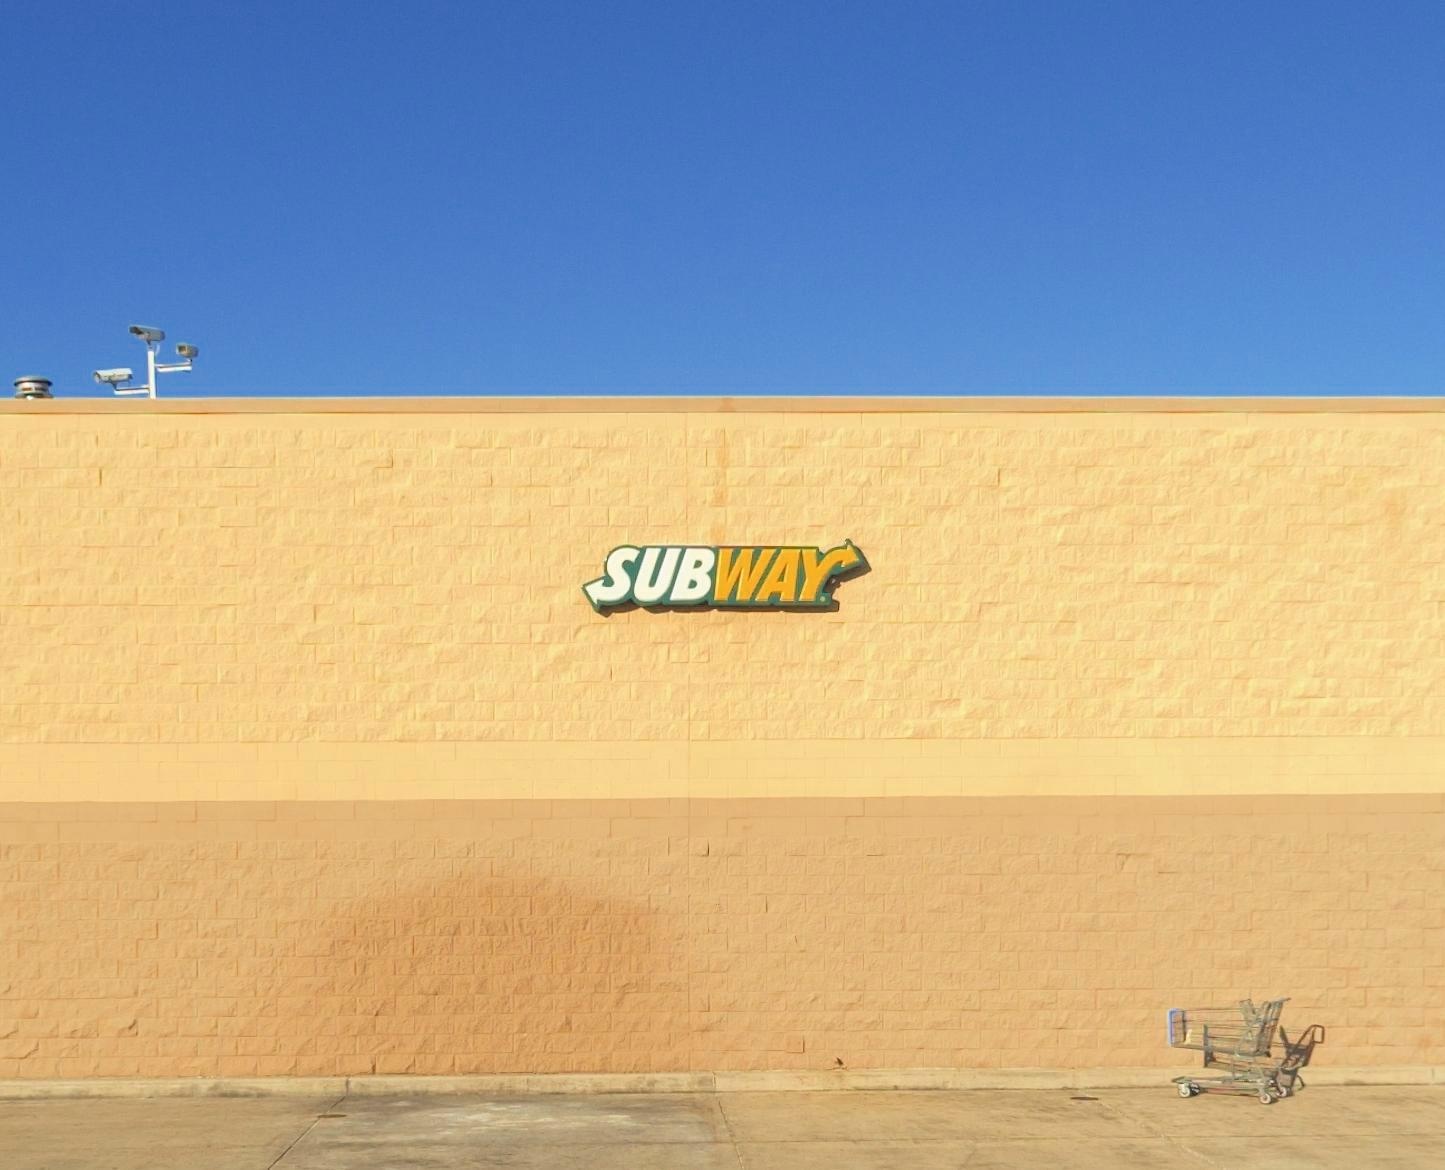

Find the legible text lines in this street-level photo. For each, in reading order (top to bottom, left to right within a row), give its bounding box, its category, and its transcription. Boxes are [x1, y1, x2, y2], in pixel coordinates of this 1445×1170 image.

[582, 544, 862, 606] BusinessName: SUBWAY